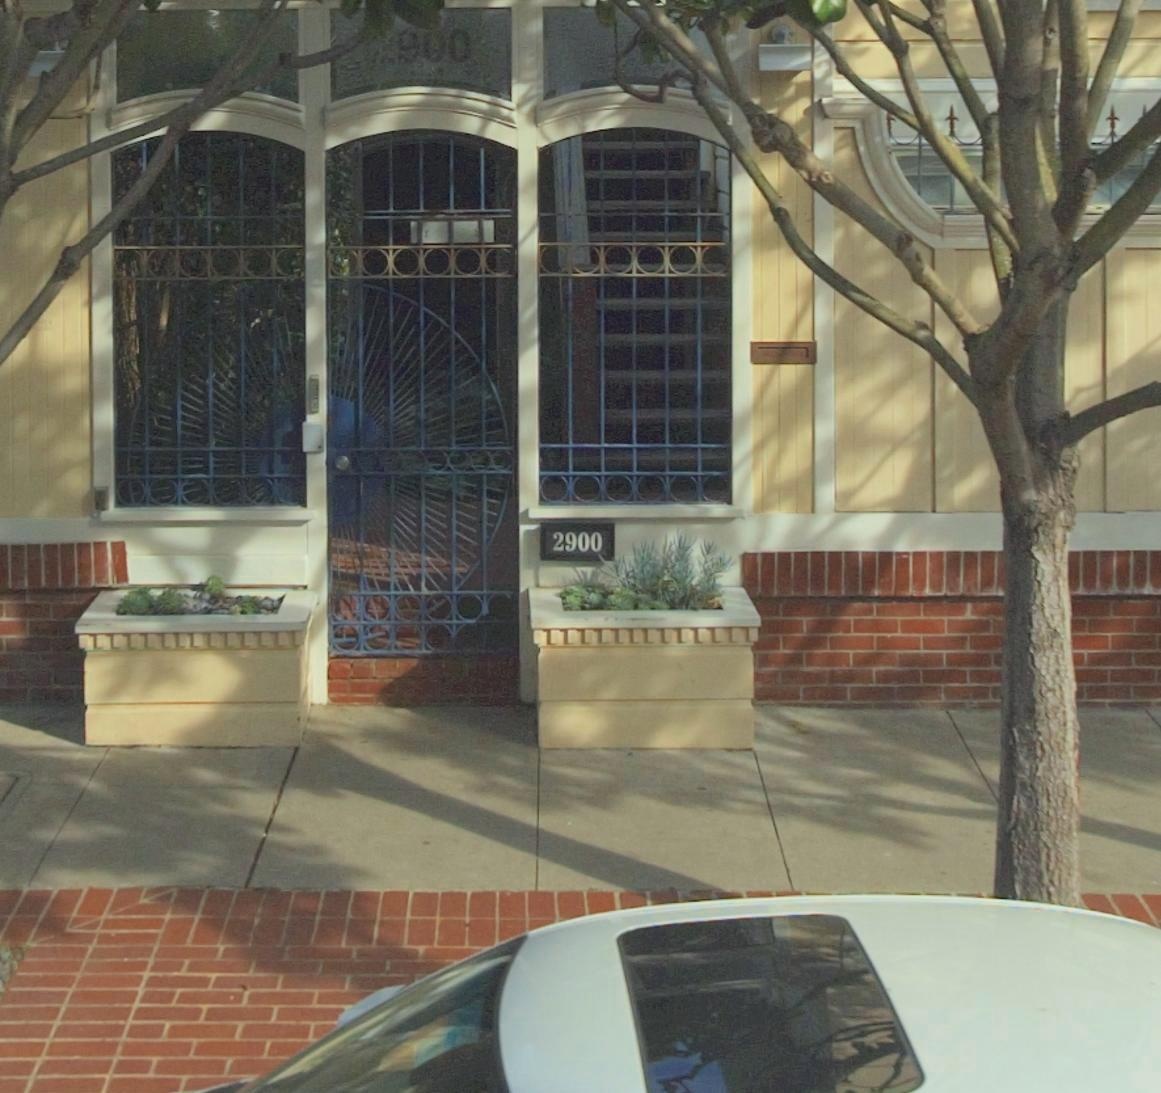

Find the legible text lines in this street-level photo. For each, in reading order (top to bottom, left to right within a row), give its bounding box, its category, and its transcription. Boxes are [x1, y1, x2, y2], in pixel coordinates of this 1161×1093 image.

[550, 529, 605, 554] StreetNumber: 2900